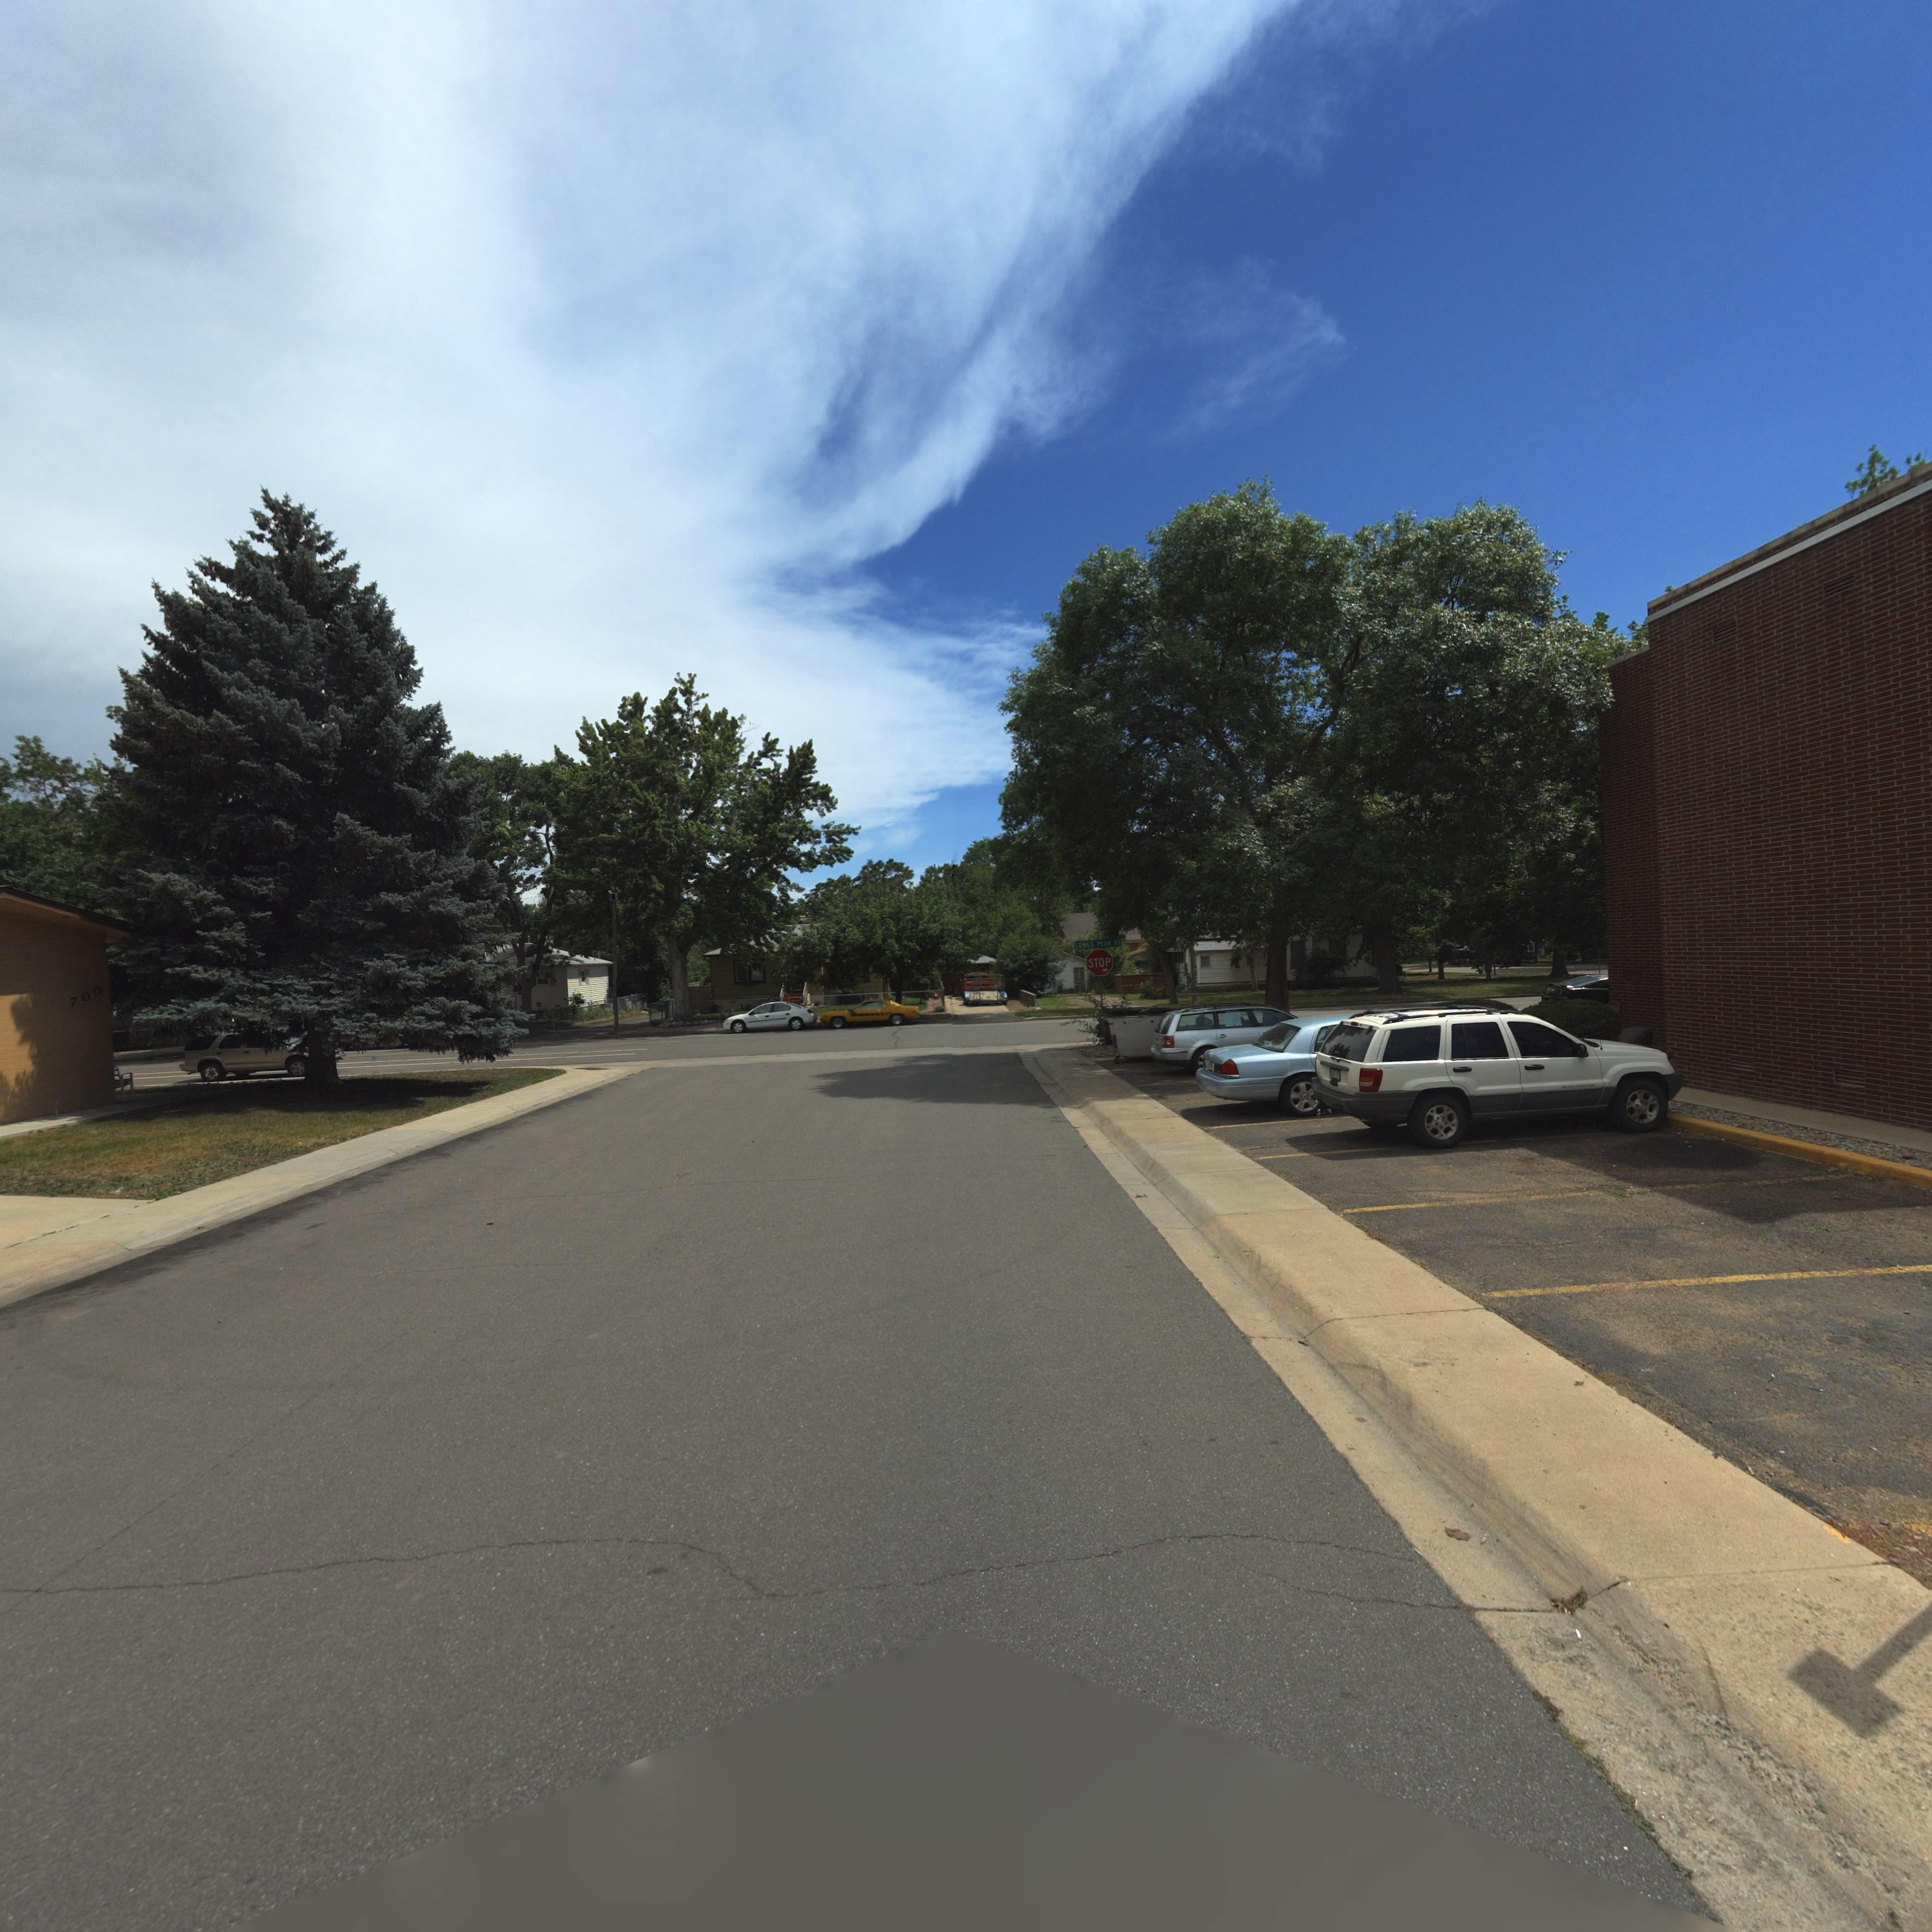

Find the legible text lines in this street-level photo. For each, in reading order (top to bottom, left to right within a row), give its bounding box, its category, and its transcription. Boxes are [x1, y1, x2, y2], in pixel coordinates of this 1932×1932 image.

[1075, 939, 1121, 948] StreetName: LONGS PEAK AV
[68, 985, 102, 1008] StreetNumber: 700